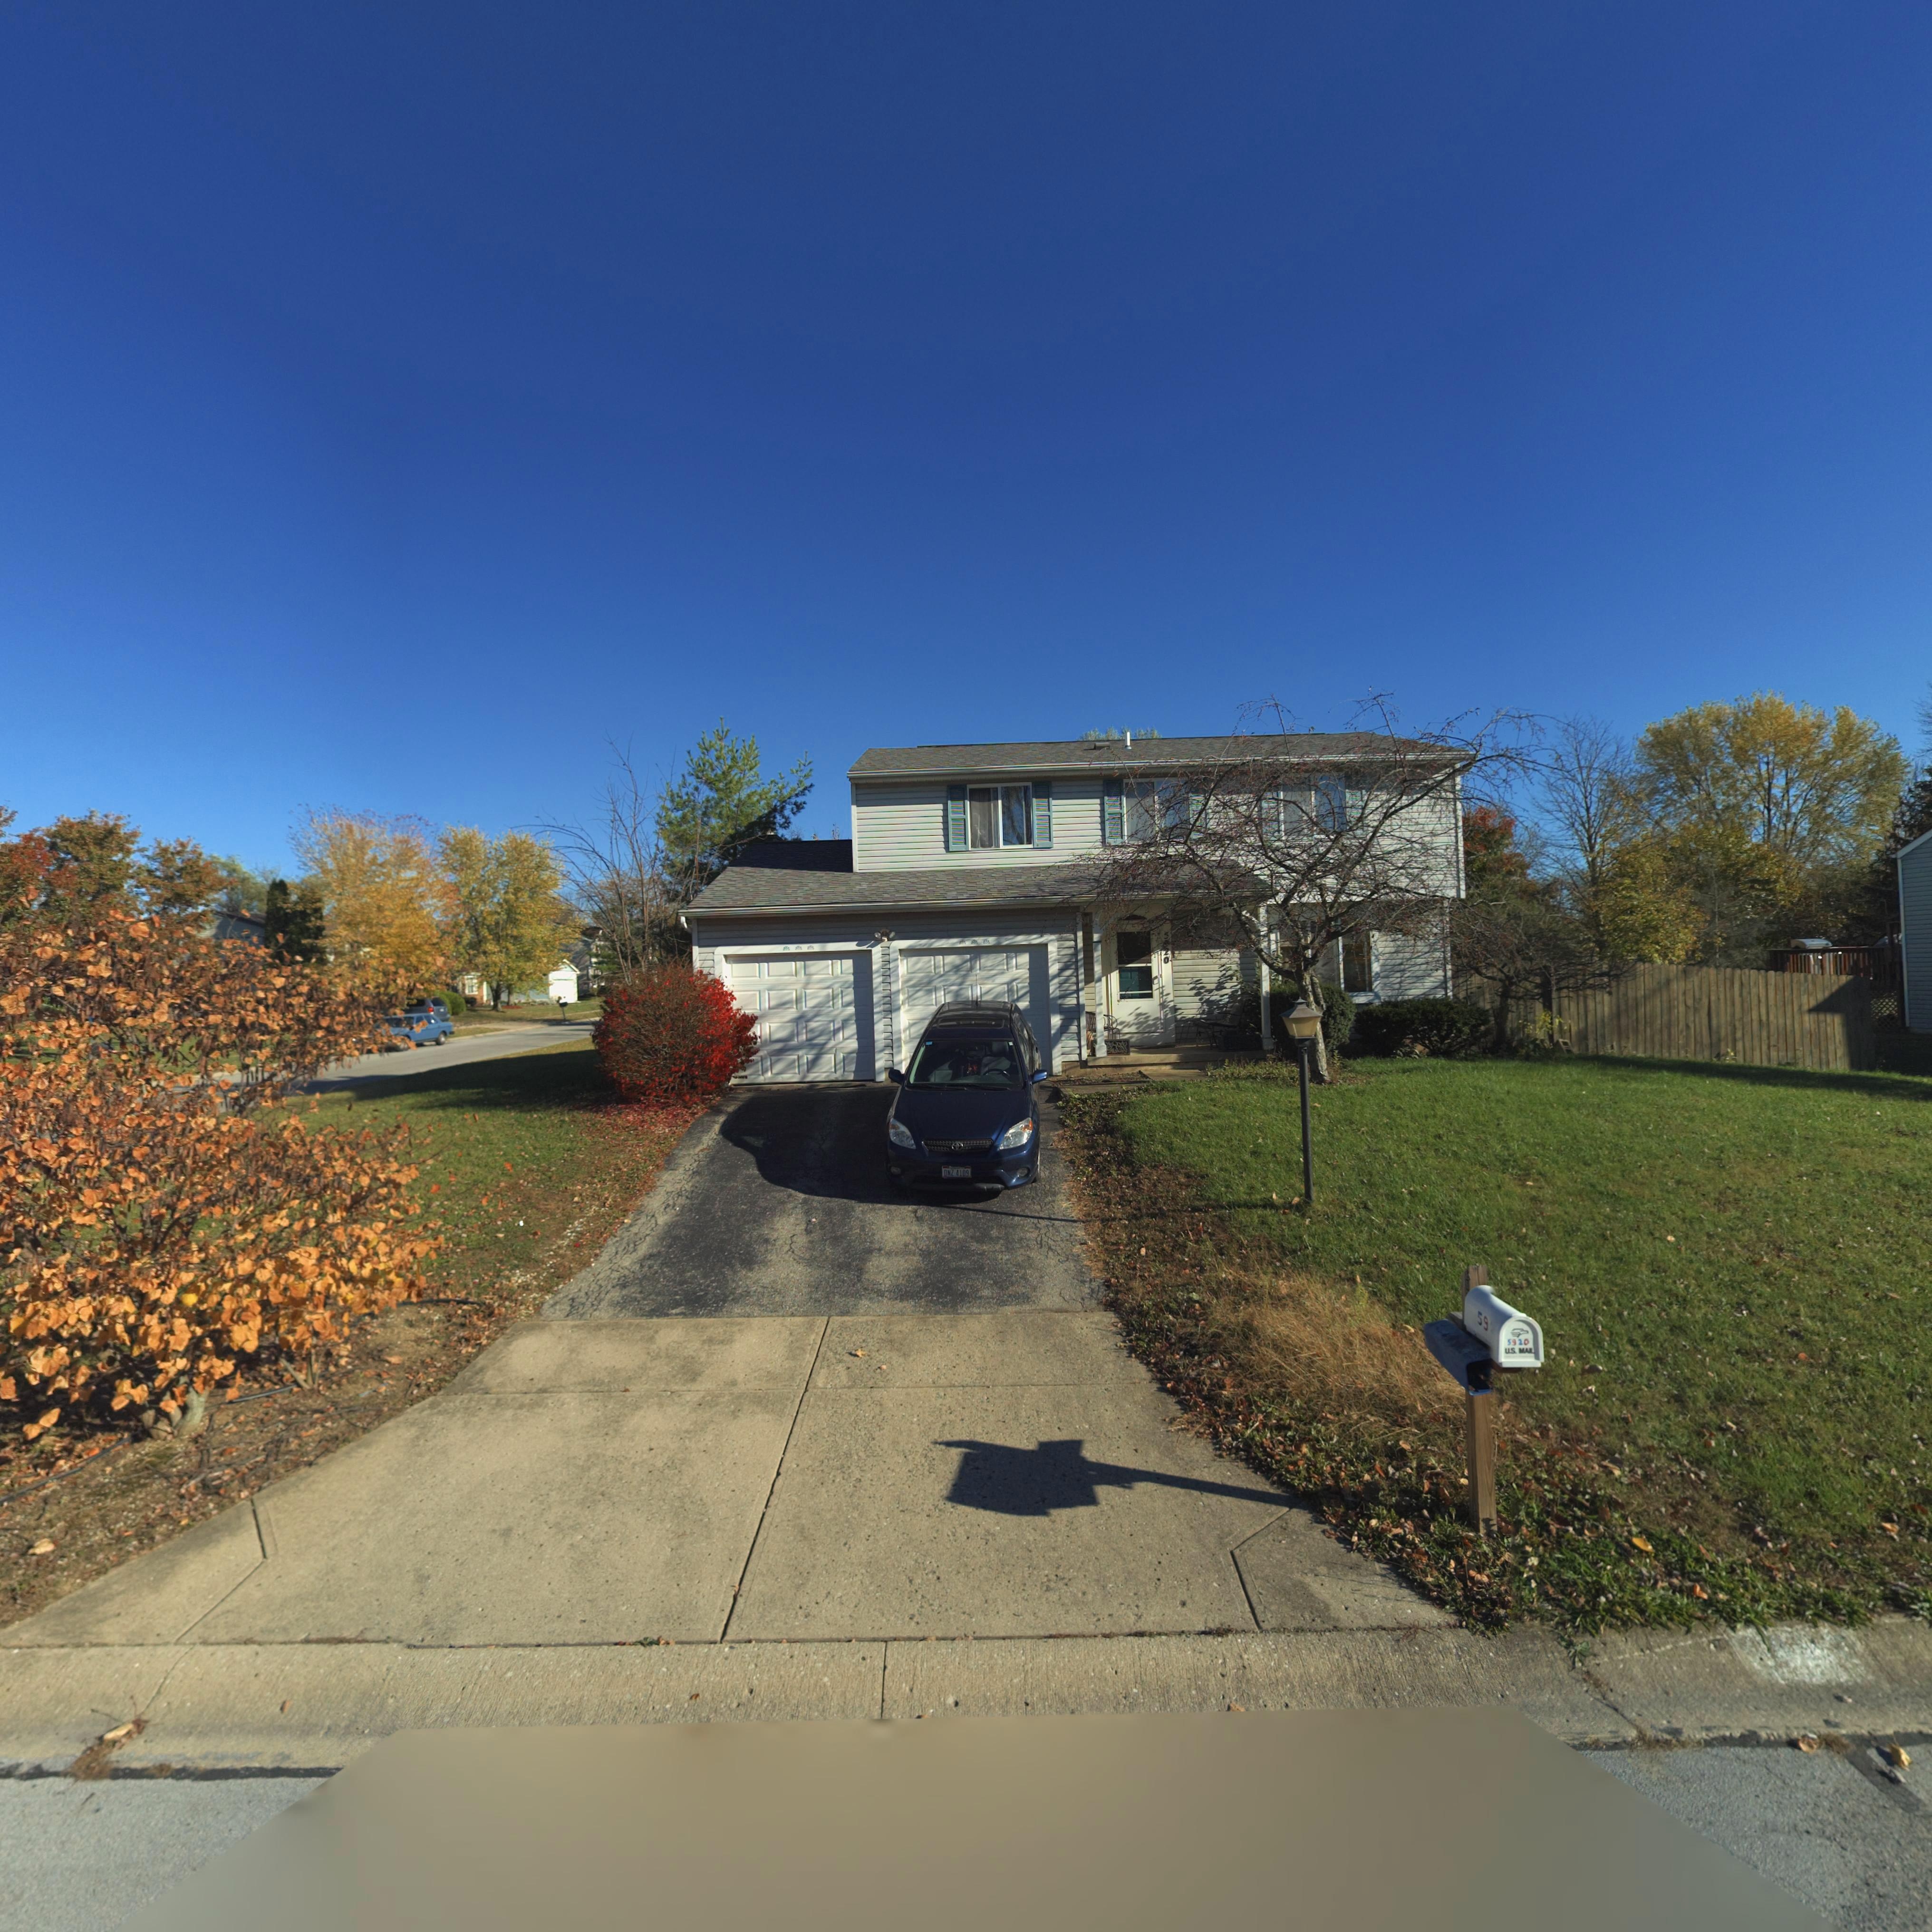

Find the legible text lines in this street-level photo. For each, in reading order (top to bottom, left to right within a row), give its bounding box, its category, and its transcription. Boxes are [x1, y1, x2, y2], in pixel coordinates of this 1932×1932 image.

[1163, 931, 1170, 965] StreetNumber: 5*20
[1476, 1308, 1489, 1333] StreetNumber: 59
[1506, 1338, 1530, 1346] None: 5920